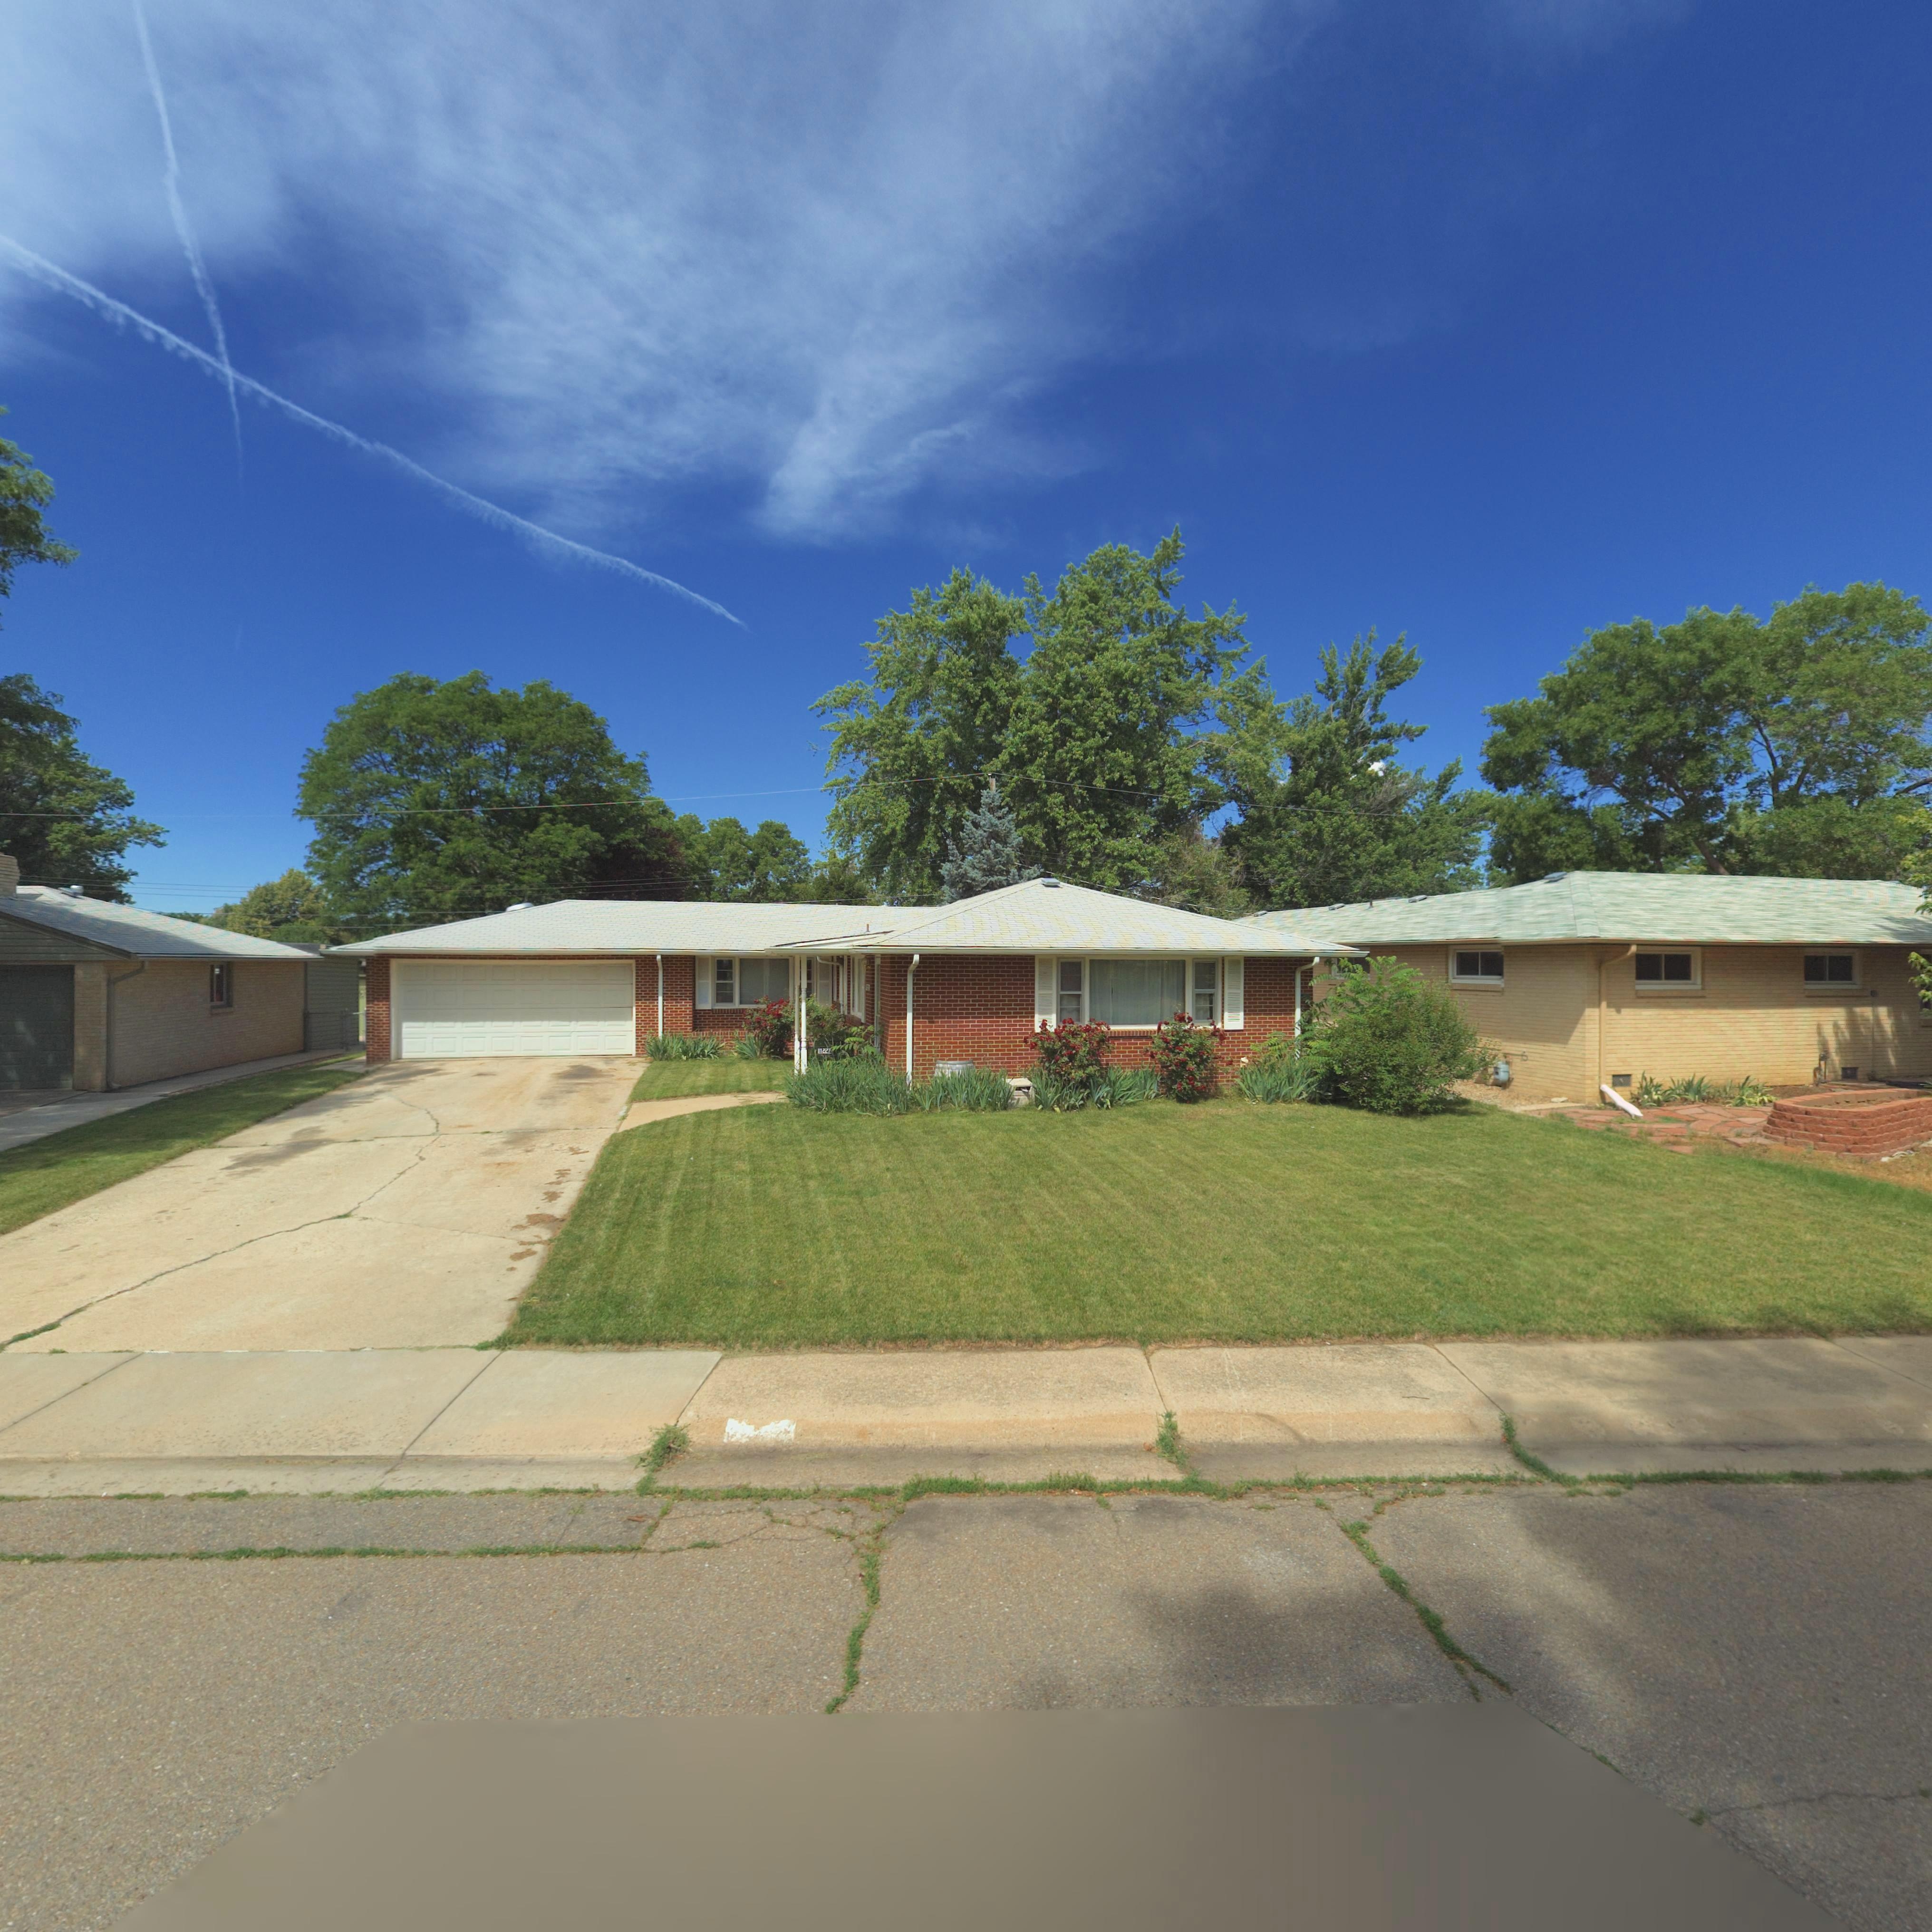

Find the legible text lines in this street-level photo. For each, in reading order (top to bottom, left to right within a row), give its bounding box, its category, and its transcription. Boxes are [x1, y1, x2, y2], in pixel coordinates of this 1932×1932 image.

[820, 1047, 831, 1053] None: 1227